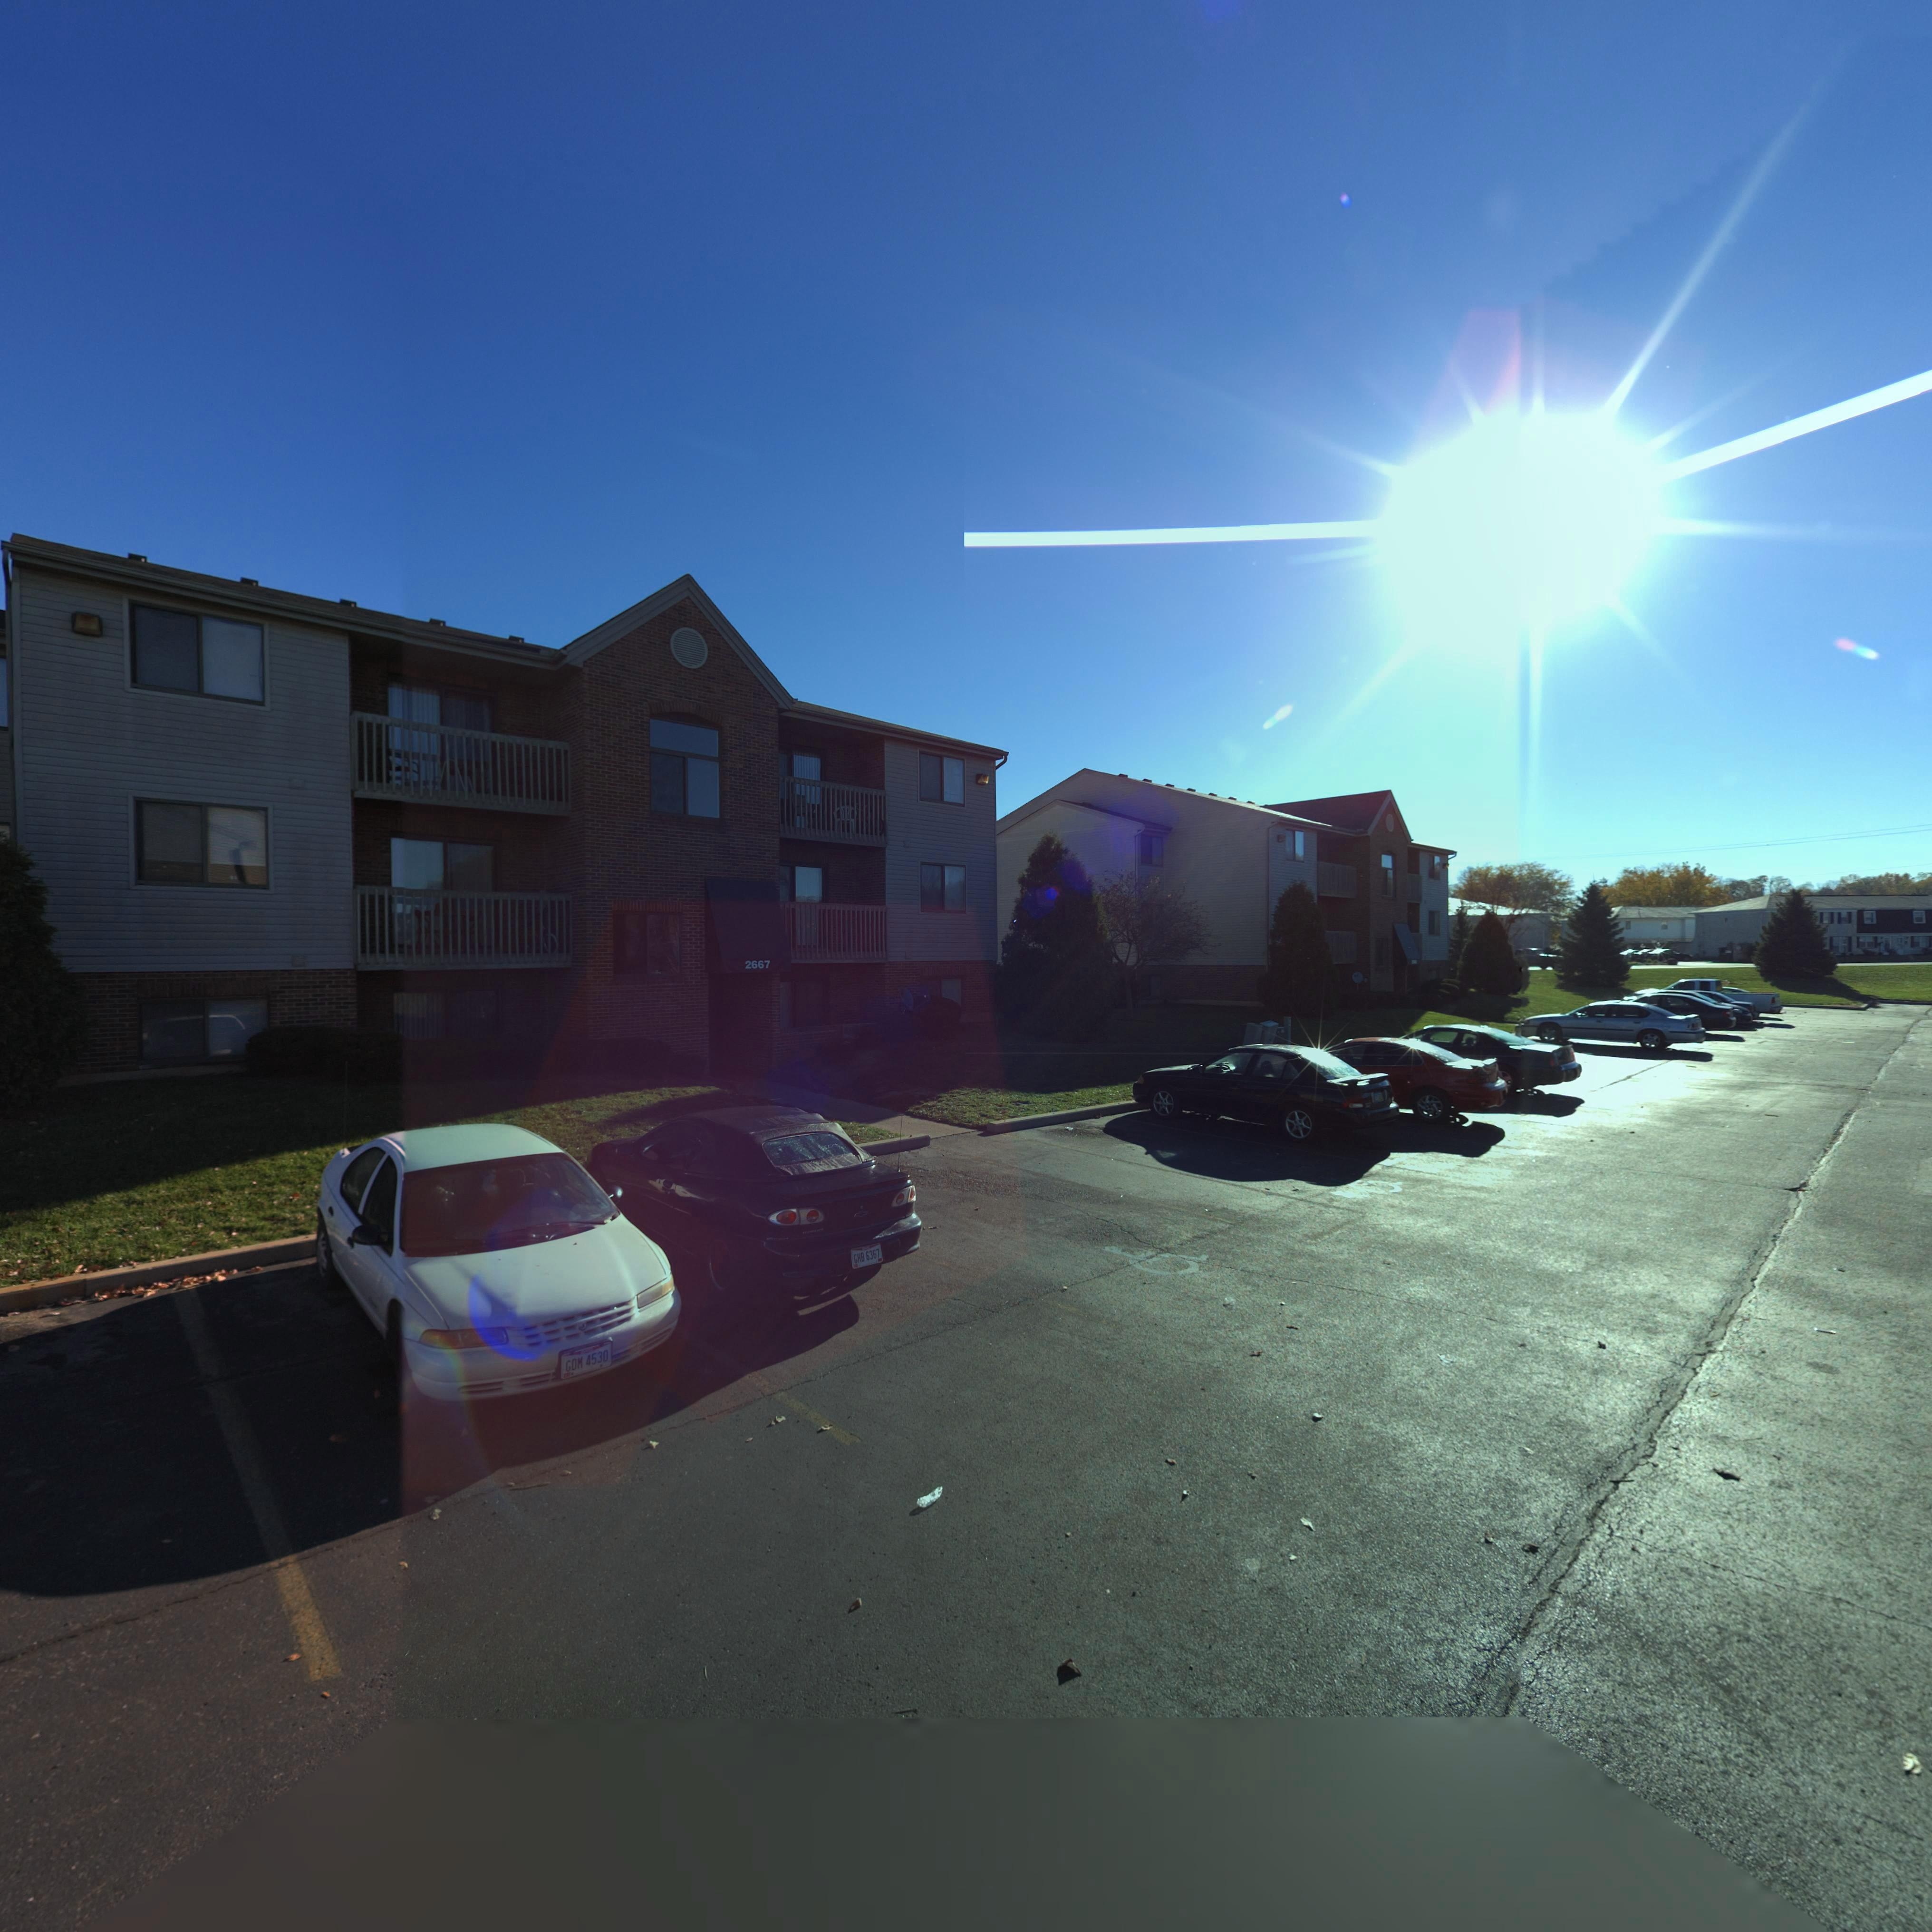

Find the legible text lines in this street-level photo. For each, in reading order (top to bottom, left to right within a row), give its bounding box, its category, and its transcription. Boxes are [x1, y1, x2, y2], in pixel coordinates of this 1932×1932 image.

[744, 959, 771, 969] StreetNumber: 2667